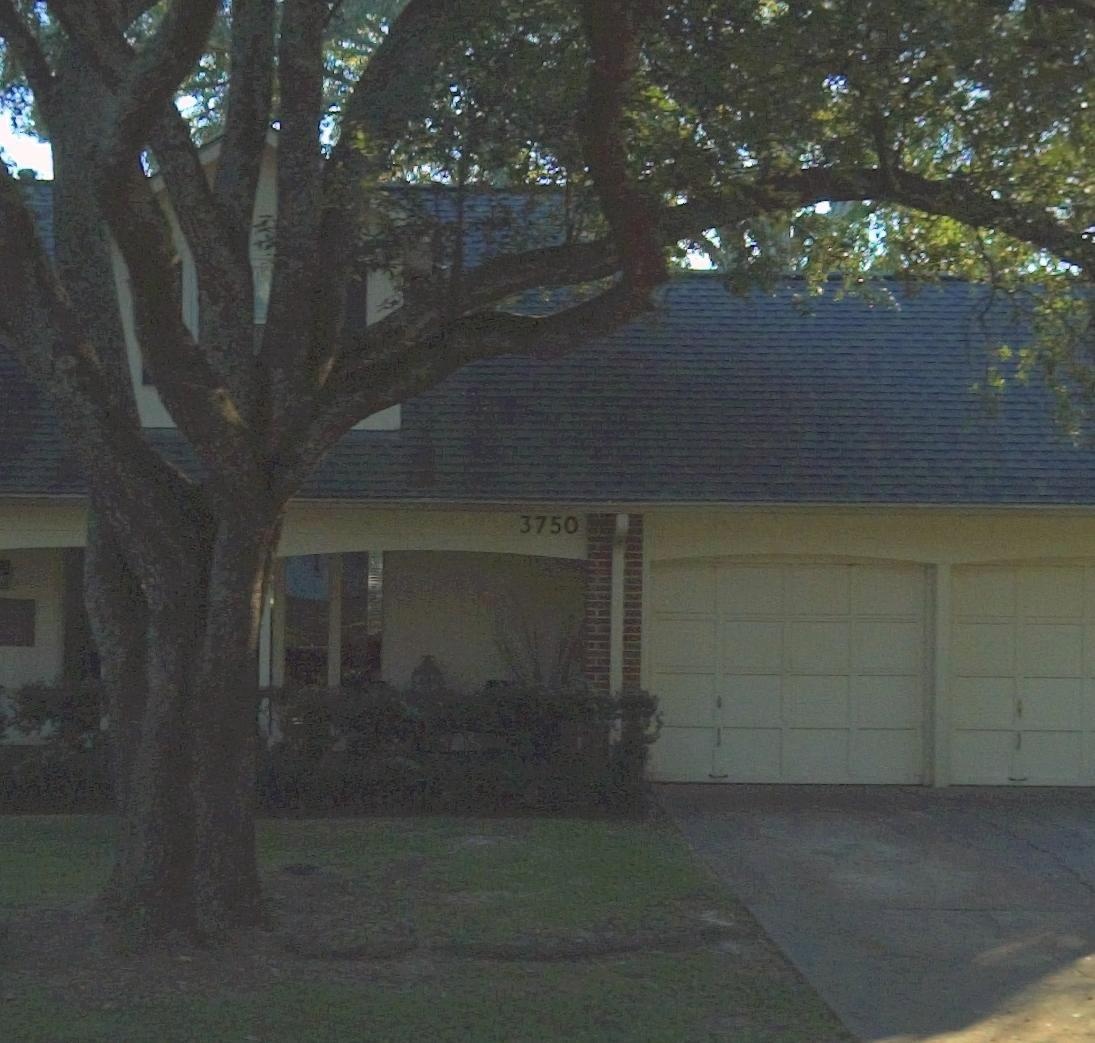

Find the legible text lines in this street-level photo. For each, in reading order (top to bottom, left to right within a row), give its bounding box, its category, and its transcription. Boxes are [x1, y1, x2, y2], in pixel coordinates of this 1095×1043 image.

[518, 512, 581, 537] StreetNumber: 3750